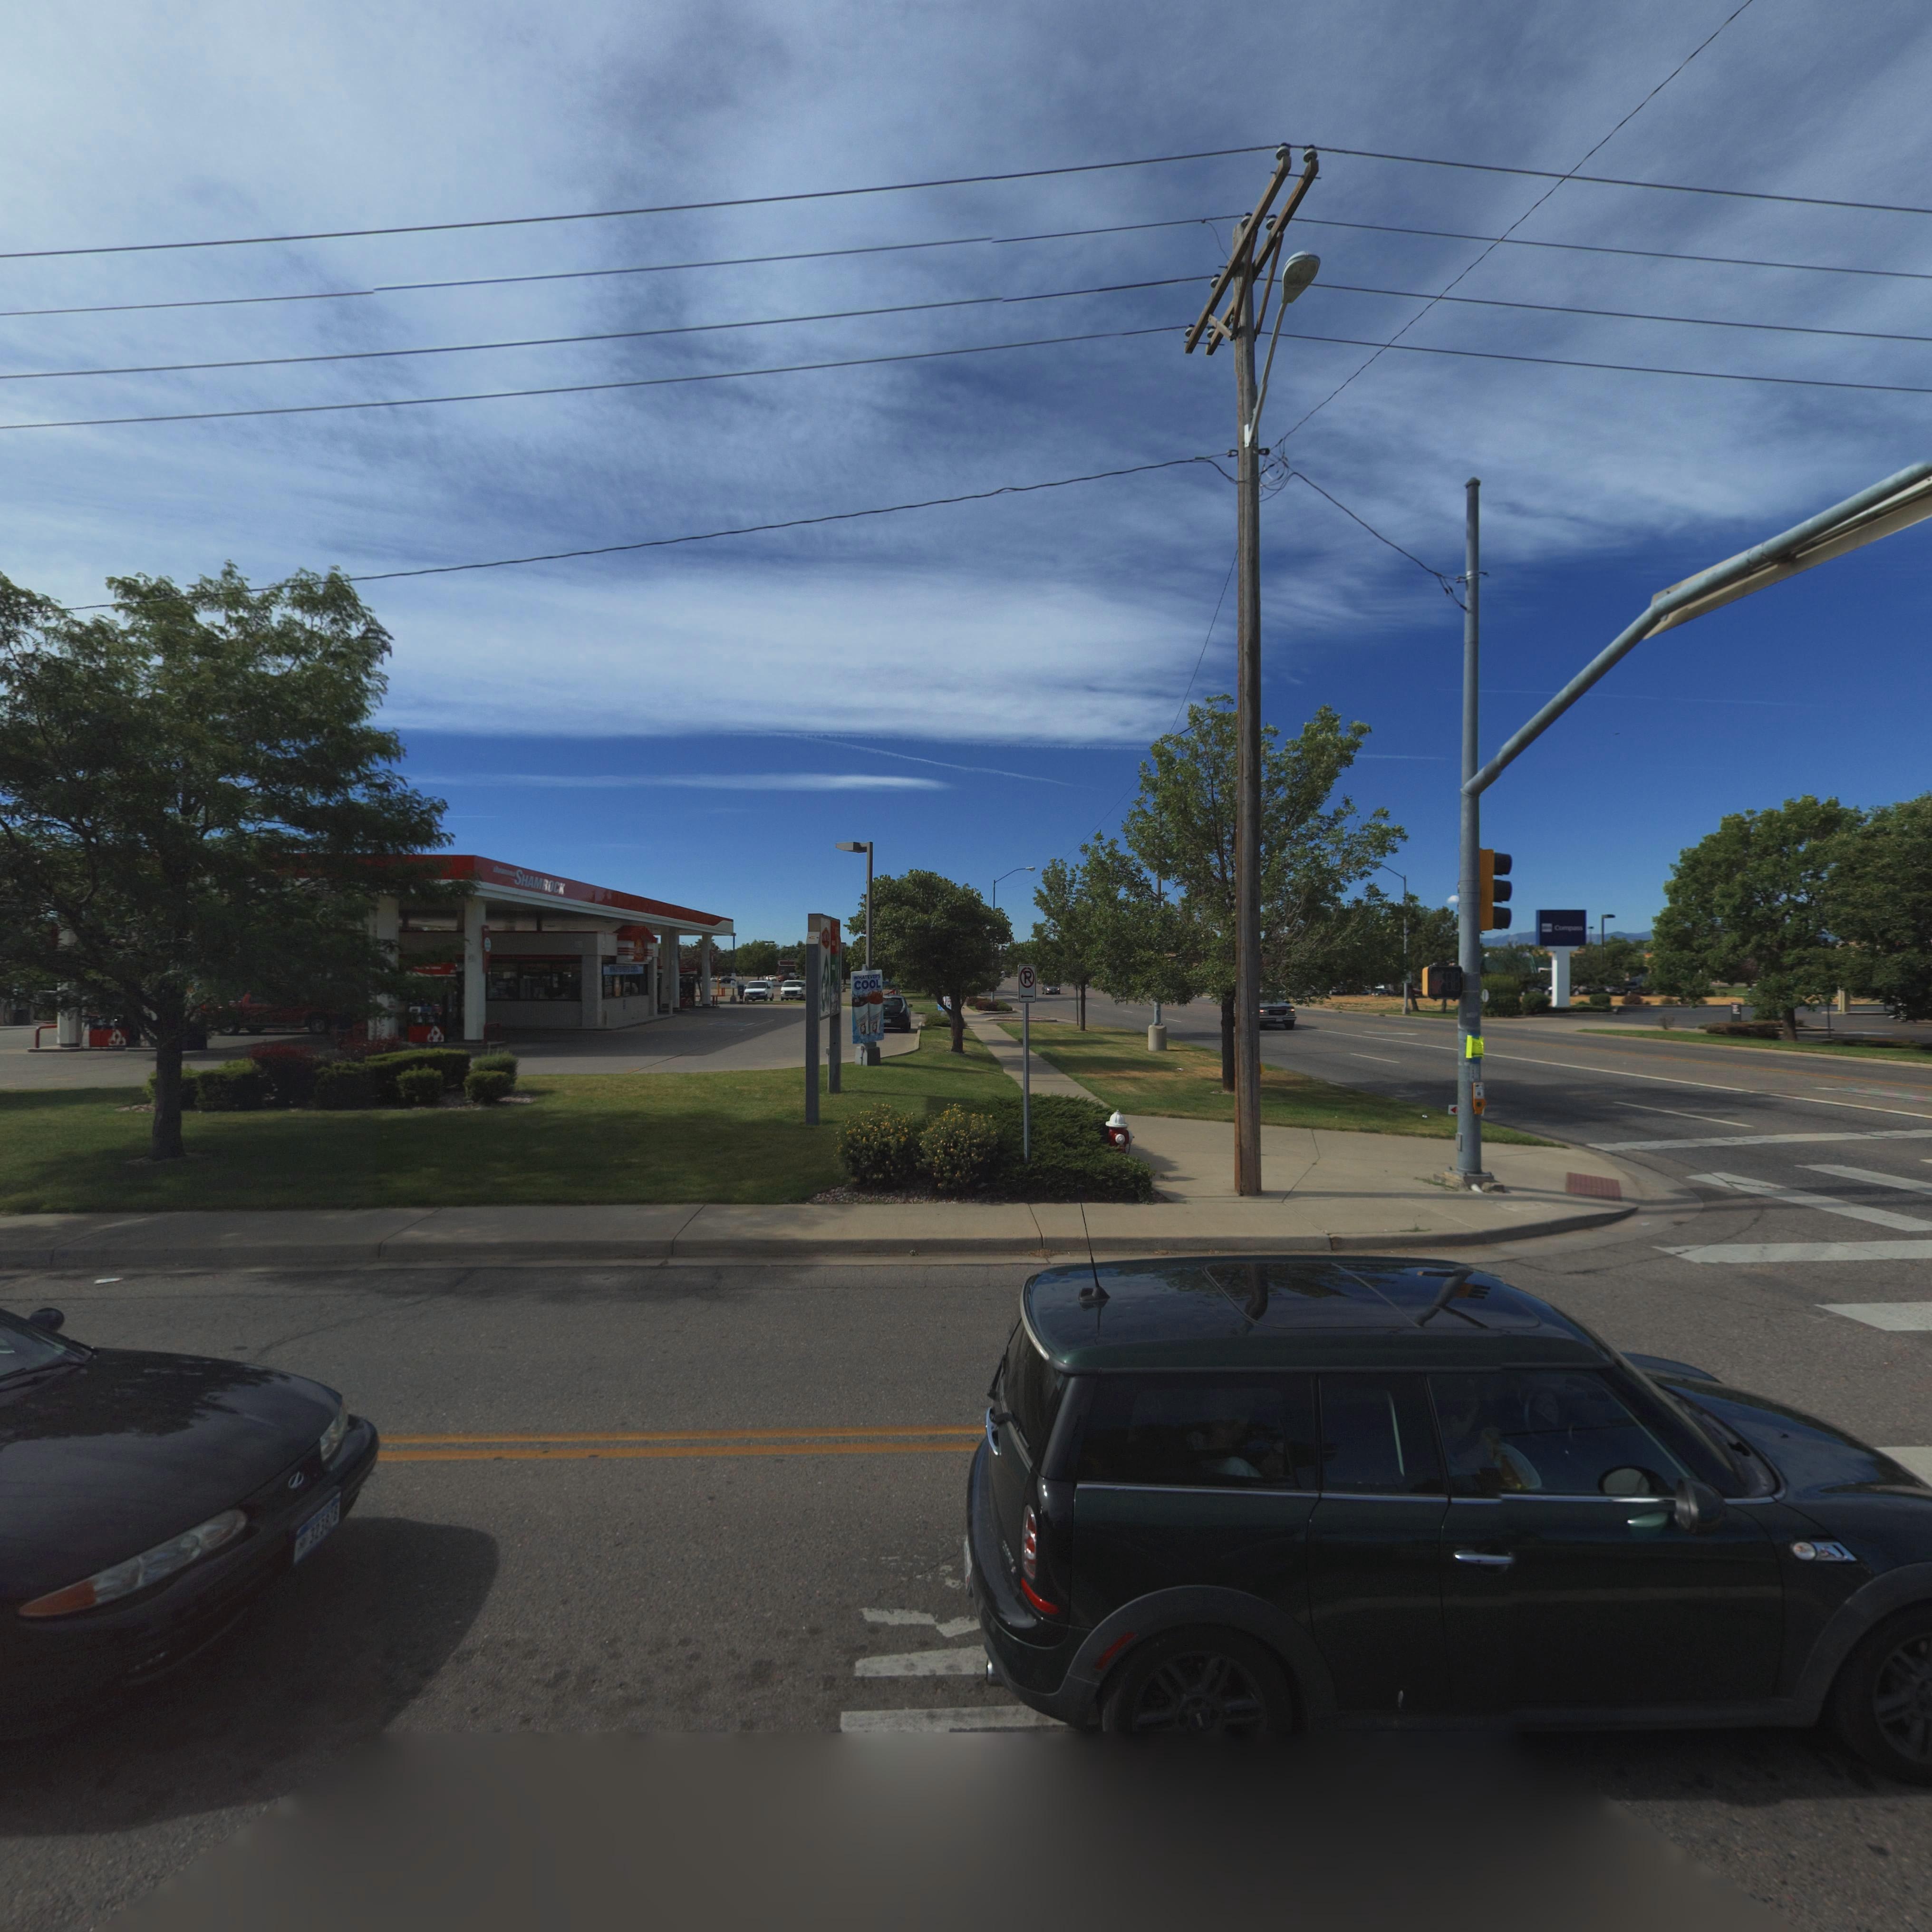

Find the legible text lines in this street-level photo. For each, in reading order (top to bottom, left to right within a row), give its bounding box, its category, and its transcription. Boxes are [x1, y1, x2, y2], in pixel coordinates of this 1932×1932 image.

[493, 864, 517, 878] BusinessName: D******
[513, 869, 566, 895] BusinessName: SHAMROCK
[1554, 924, 1584, 931] BusinessName: Compass